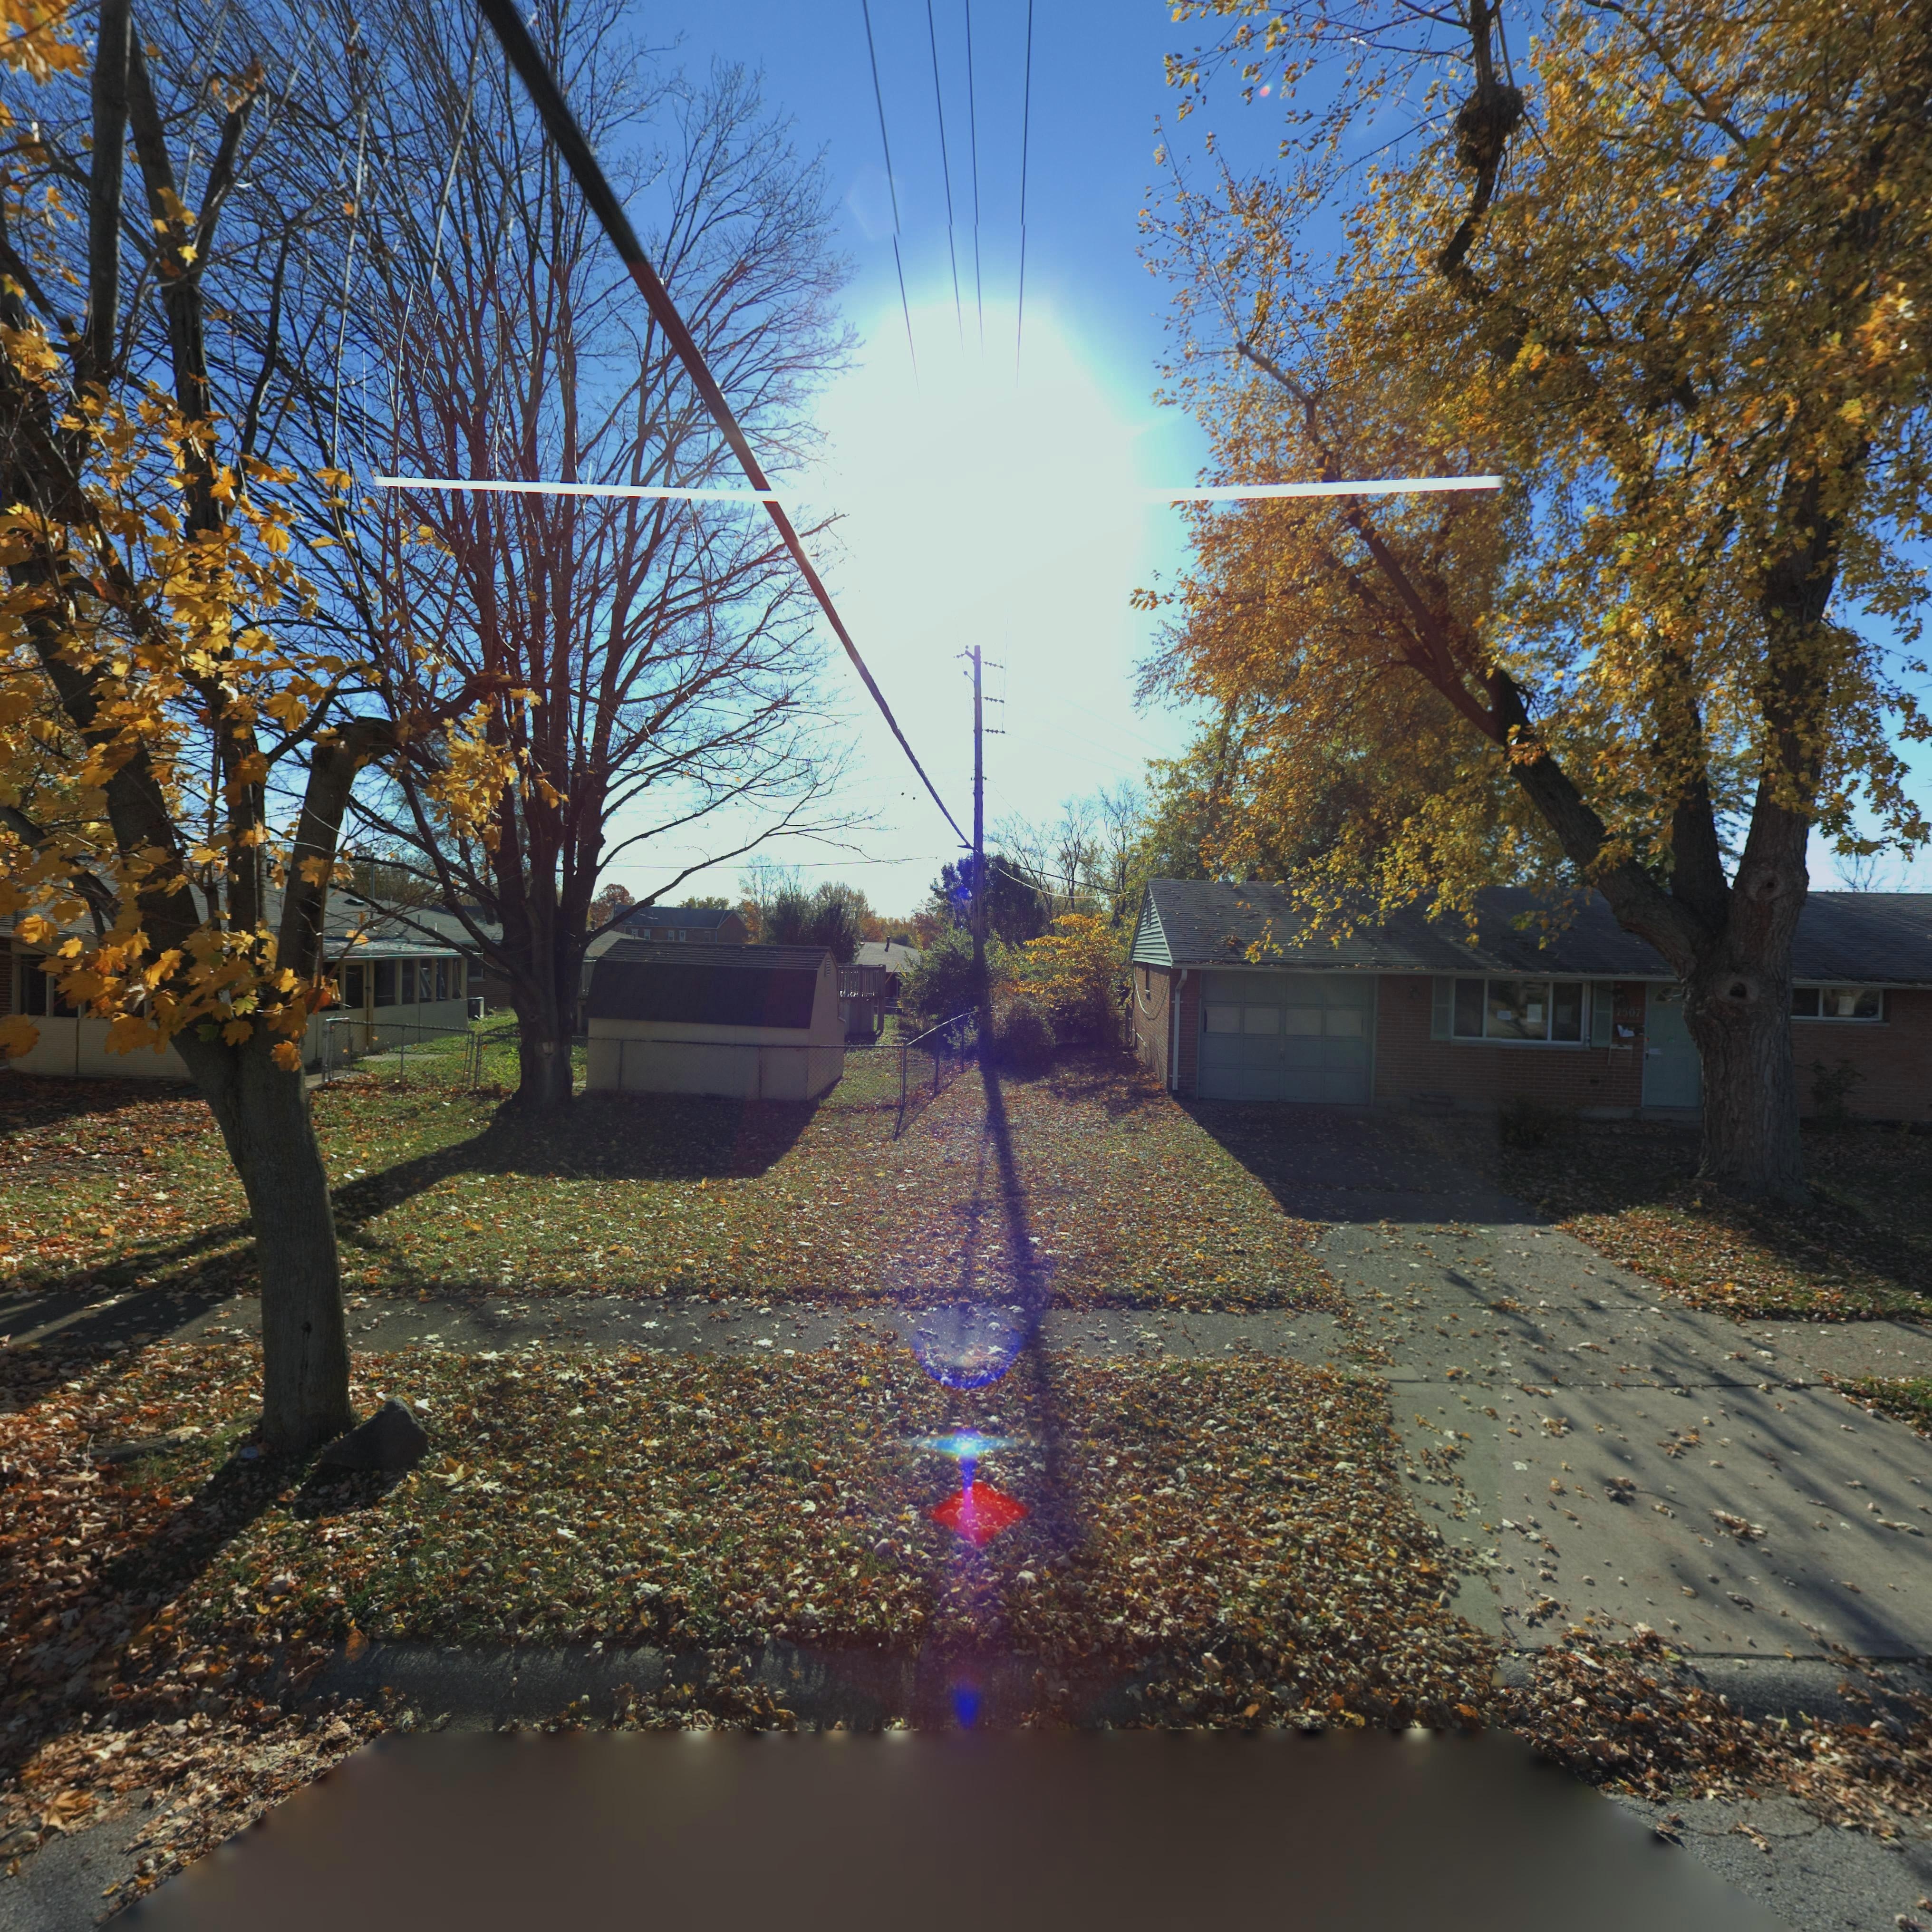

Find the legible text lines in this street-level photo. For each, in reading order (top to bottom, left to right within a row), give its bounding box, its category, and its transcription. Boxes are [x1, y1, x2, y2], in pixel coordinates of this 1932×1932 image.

[1615, 1006, 1642, 1018] StreetNumber: 7507